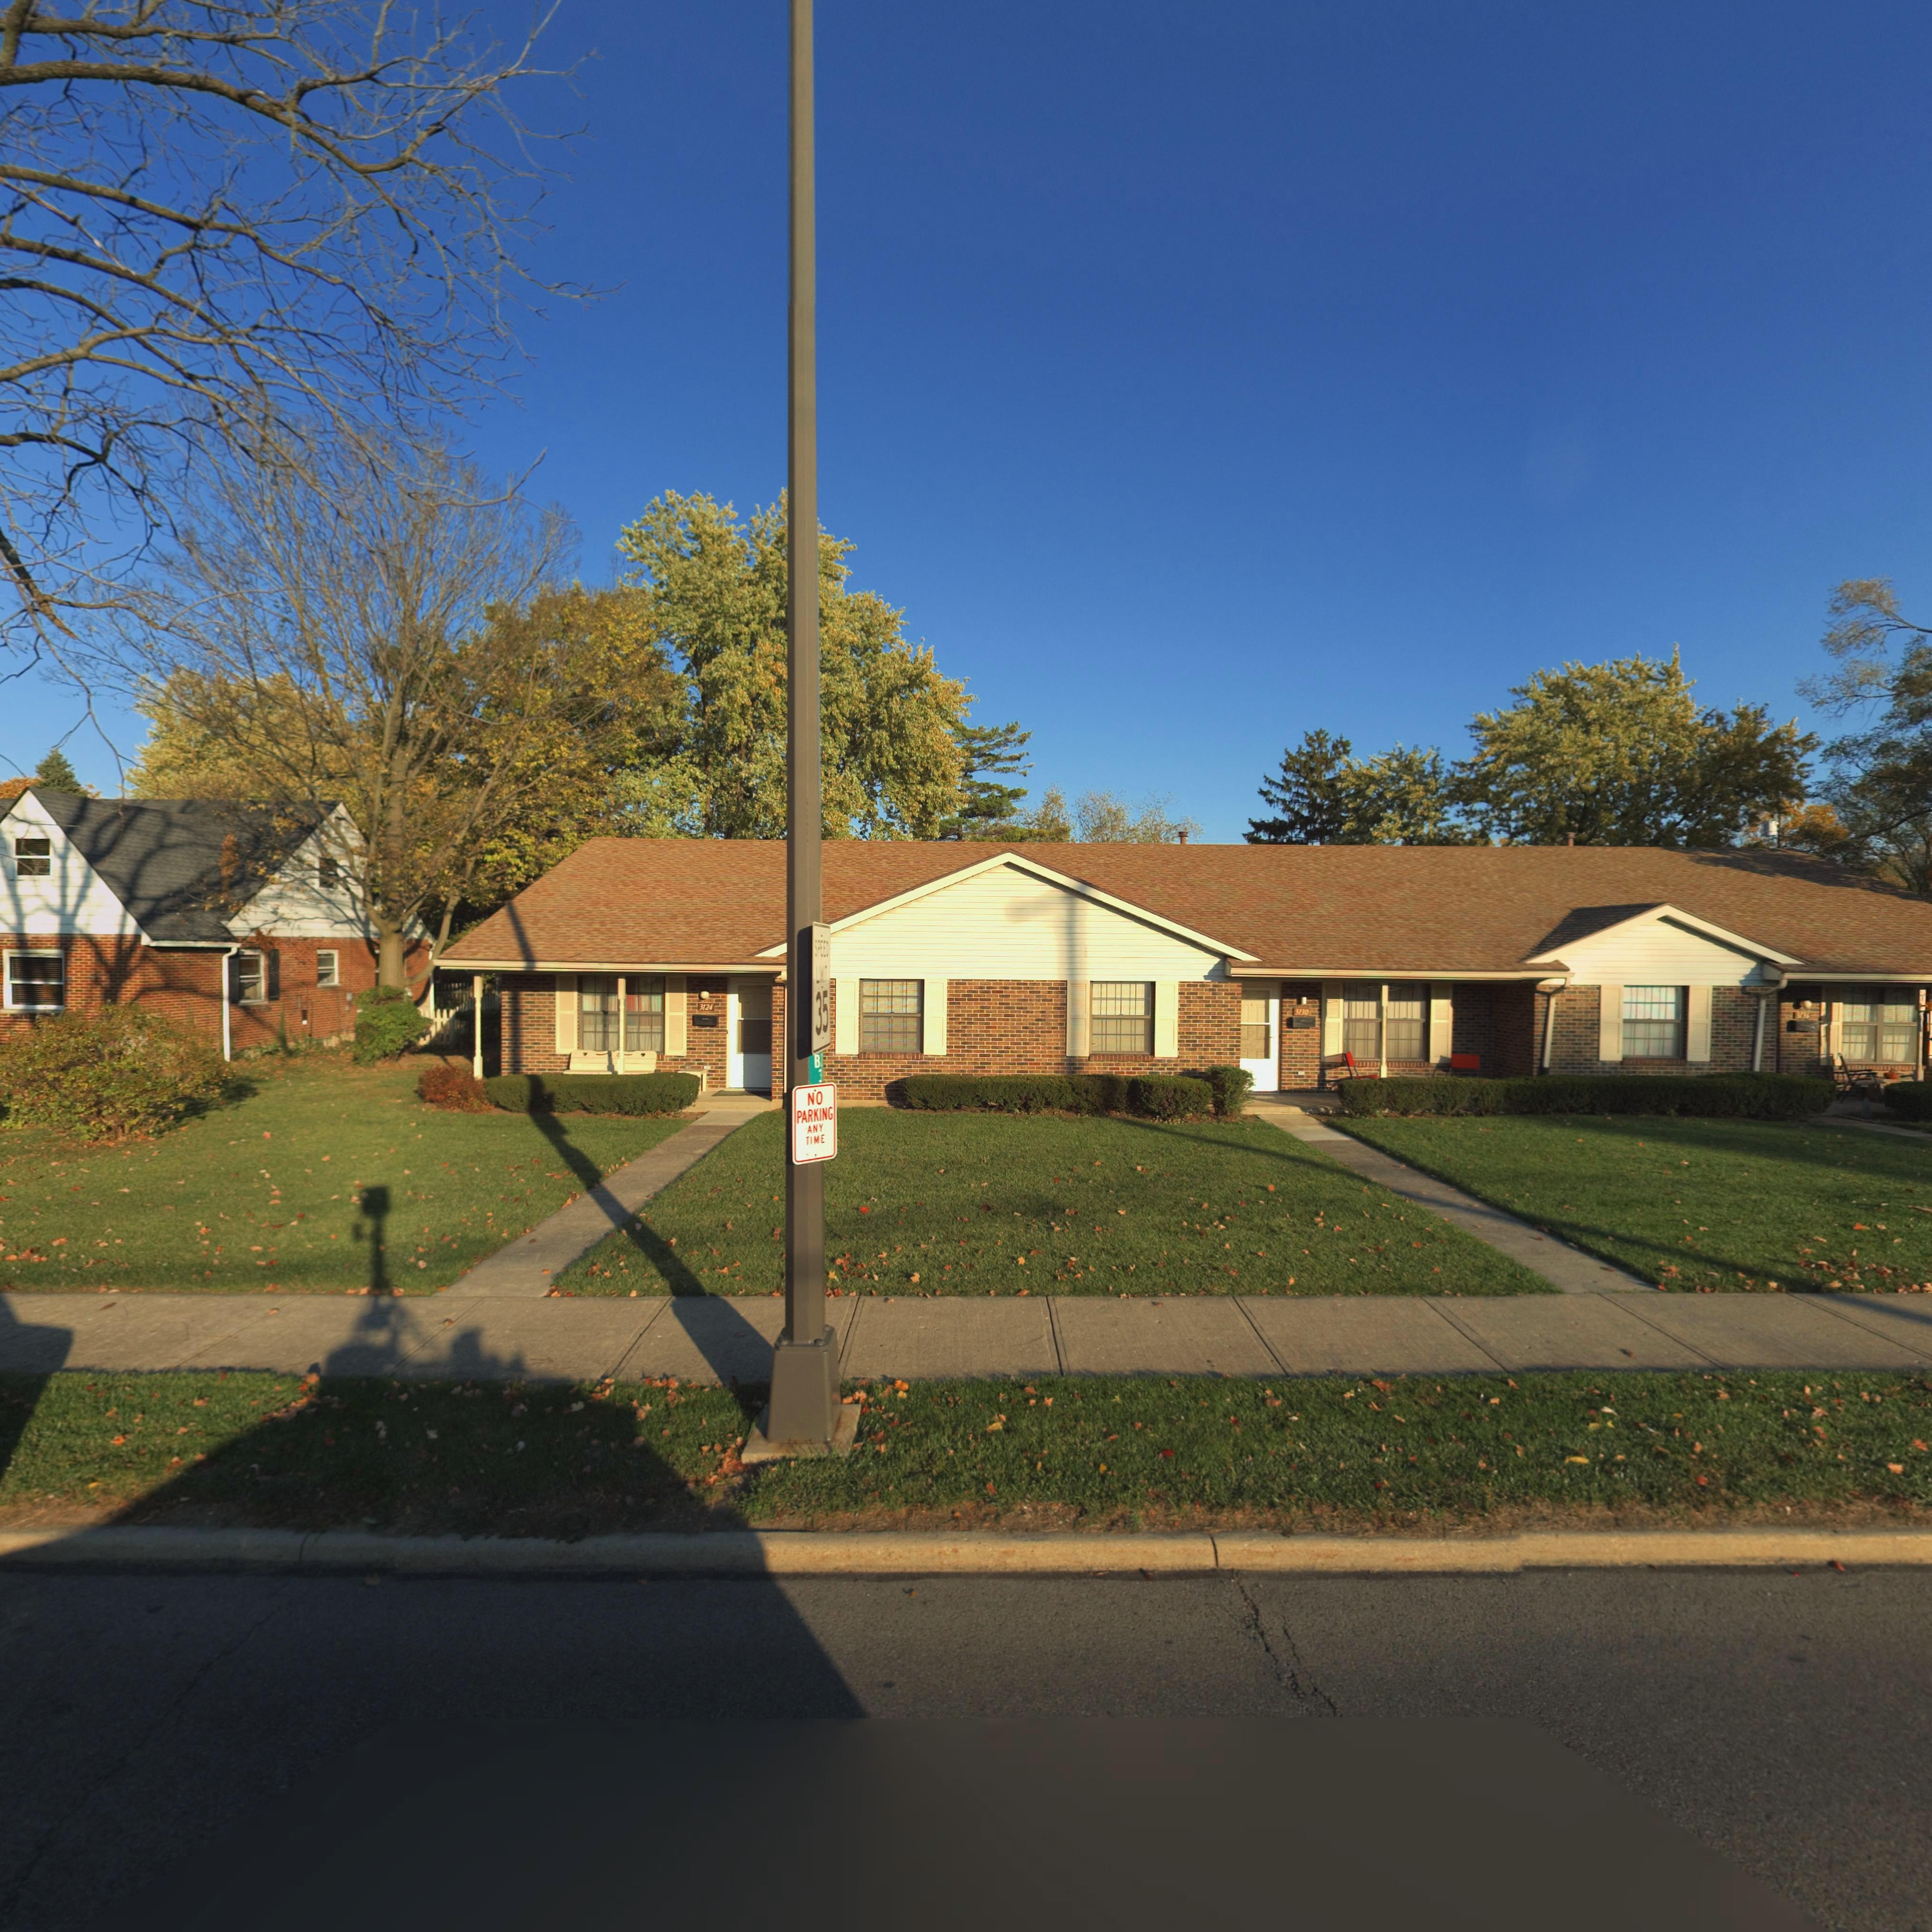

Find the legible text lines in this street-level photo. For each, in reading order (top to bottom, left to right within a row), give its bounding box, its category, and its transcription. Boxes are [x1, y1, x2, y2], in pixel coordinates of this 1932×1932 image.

[698, 1003, 714, 1011] StreetNumber: 3124
[1294, 1008, 1310, 1016] StreetNumber: 3130
[1795, 1011, 1810, 1019] StreetNumber: ***6